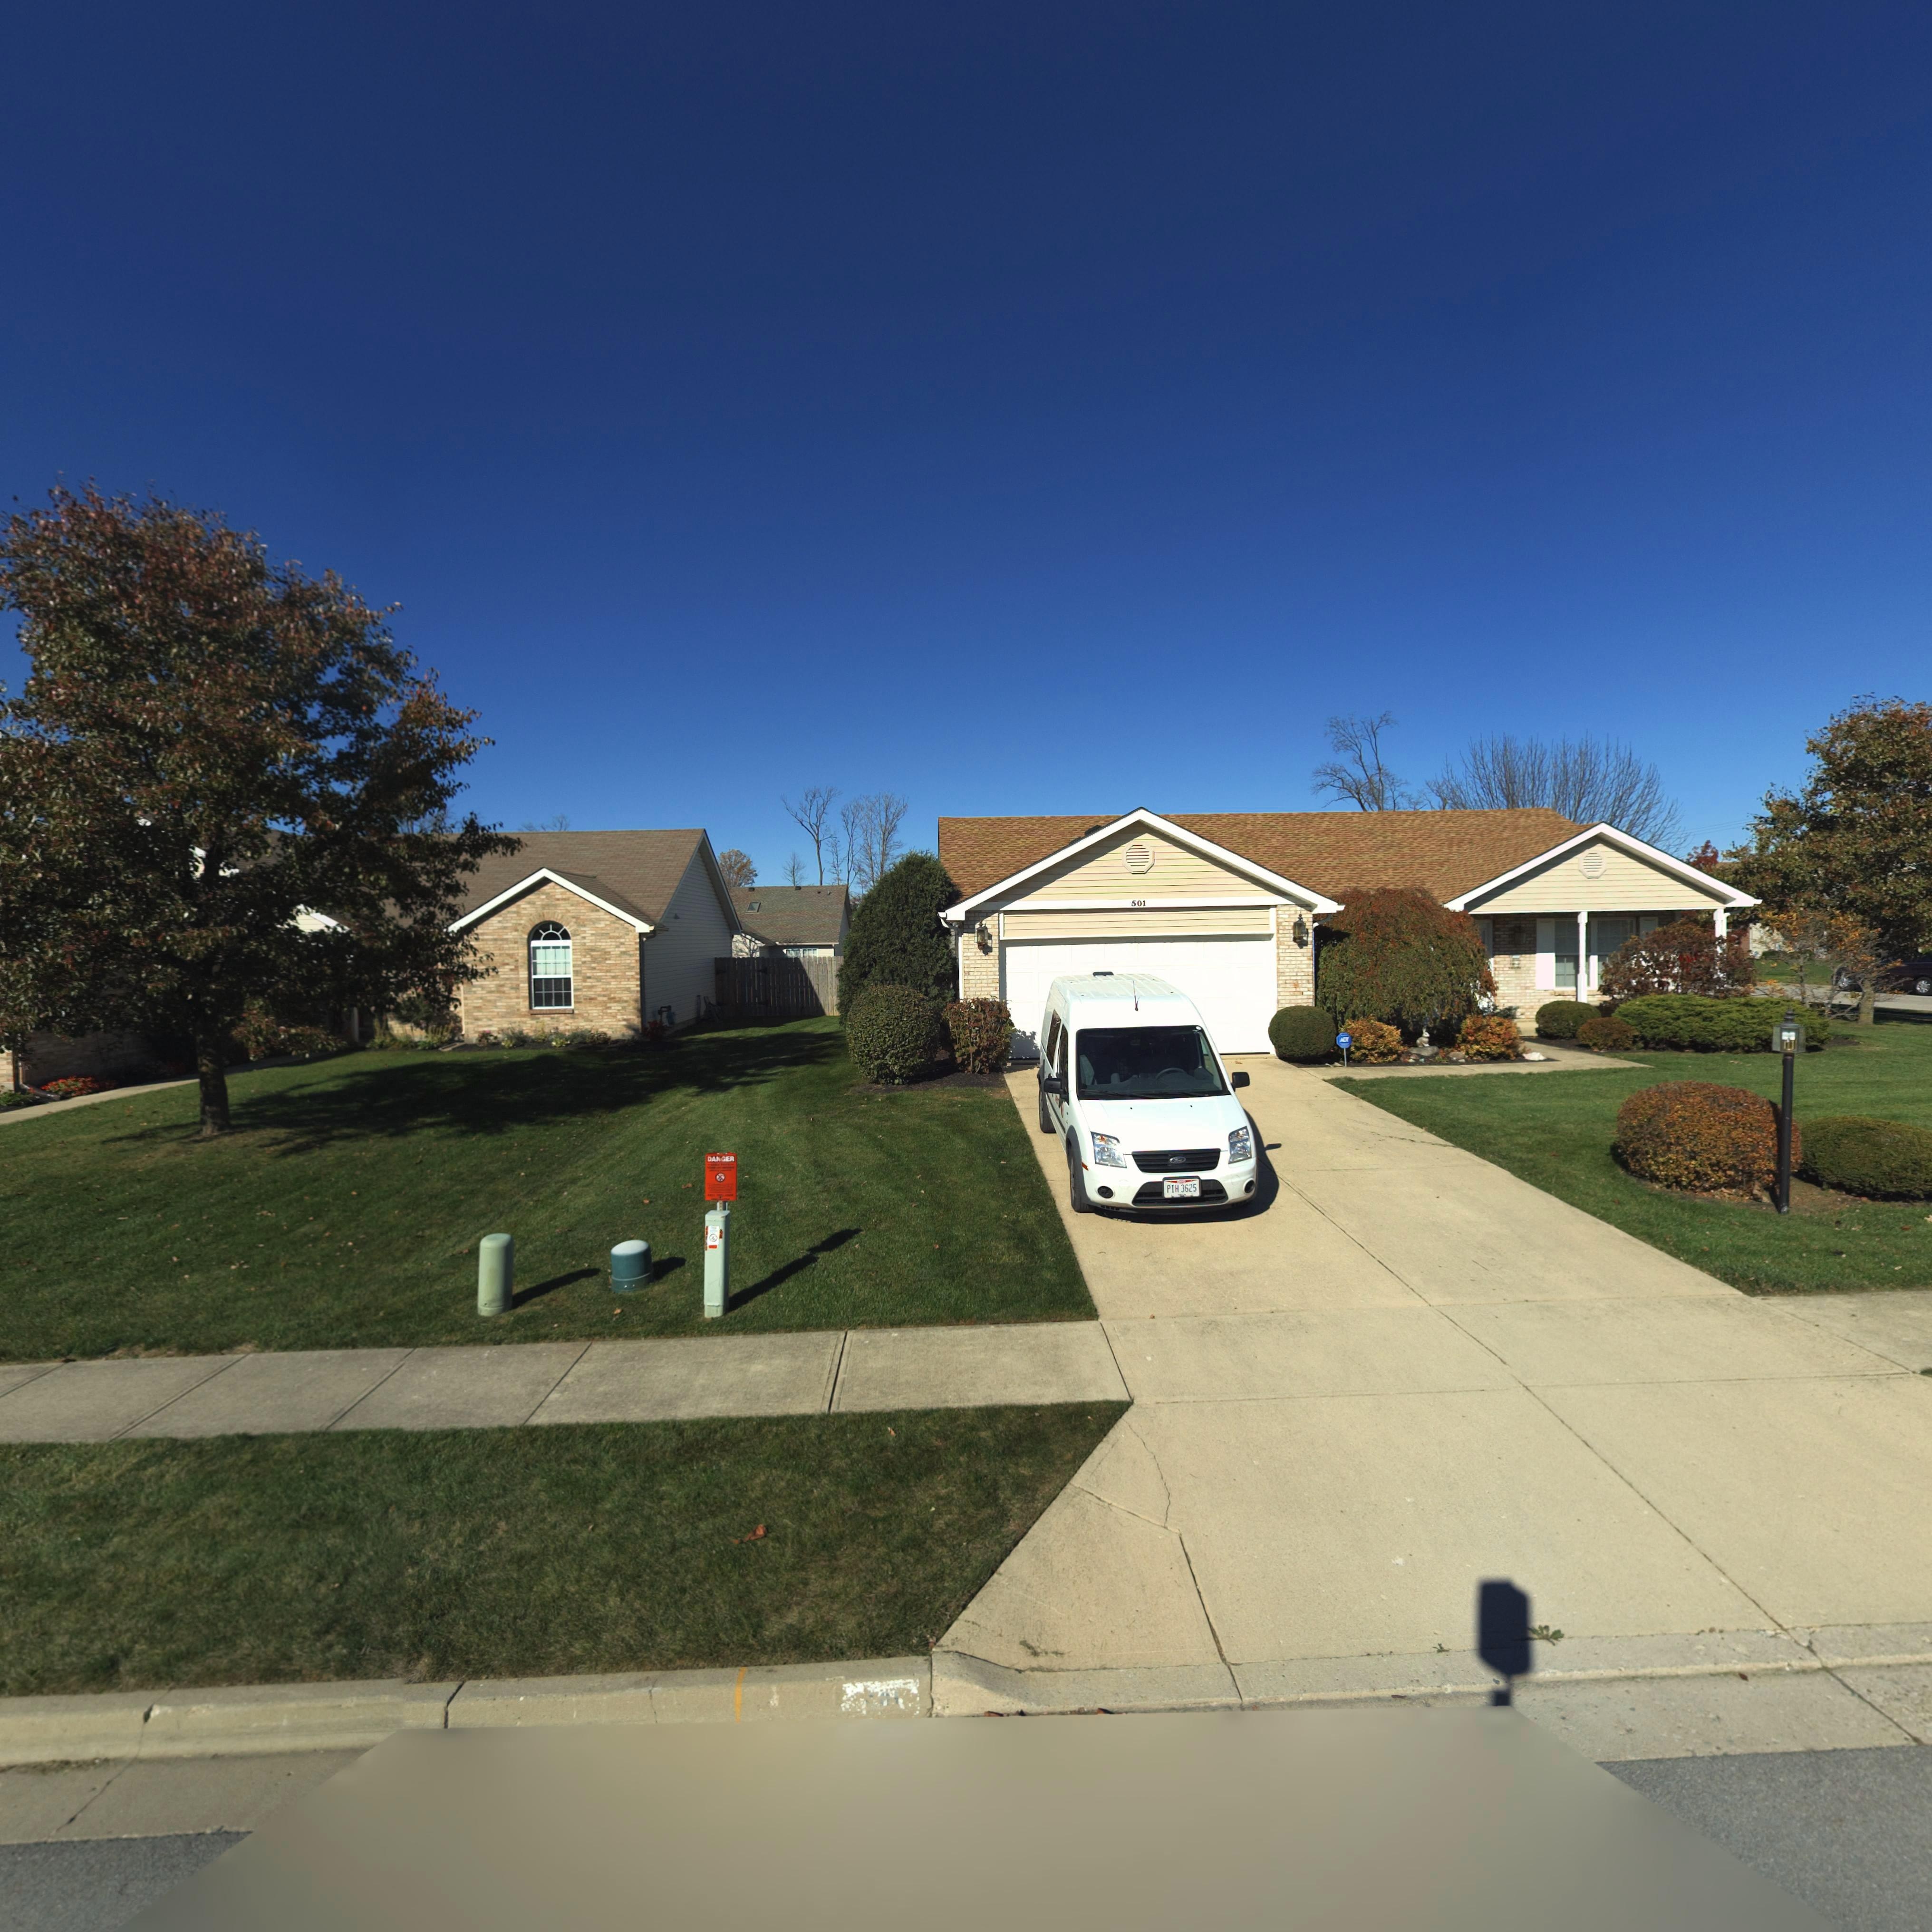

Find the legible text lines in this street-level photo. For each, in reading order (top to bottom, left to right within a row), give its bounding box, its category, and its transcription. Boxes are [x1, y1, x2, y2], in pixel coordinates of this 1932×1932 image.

[1130, 899, 1147, 908] StreetNumber: 501